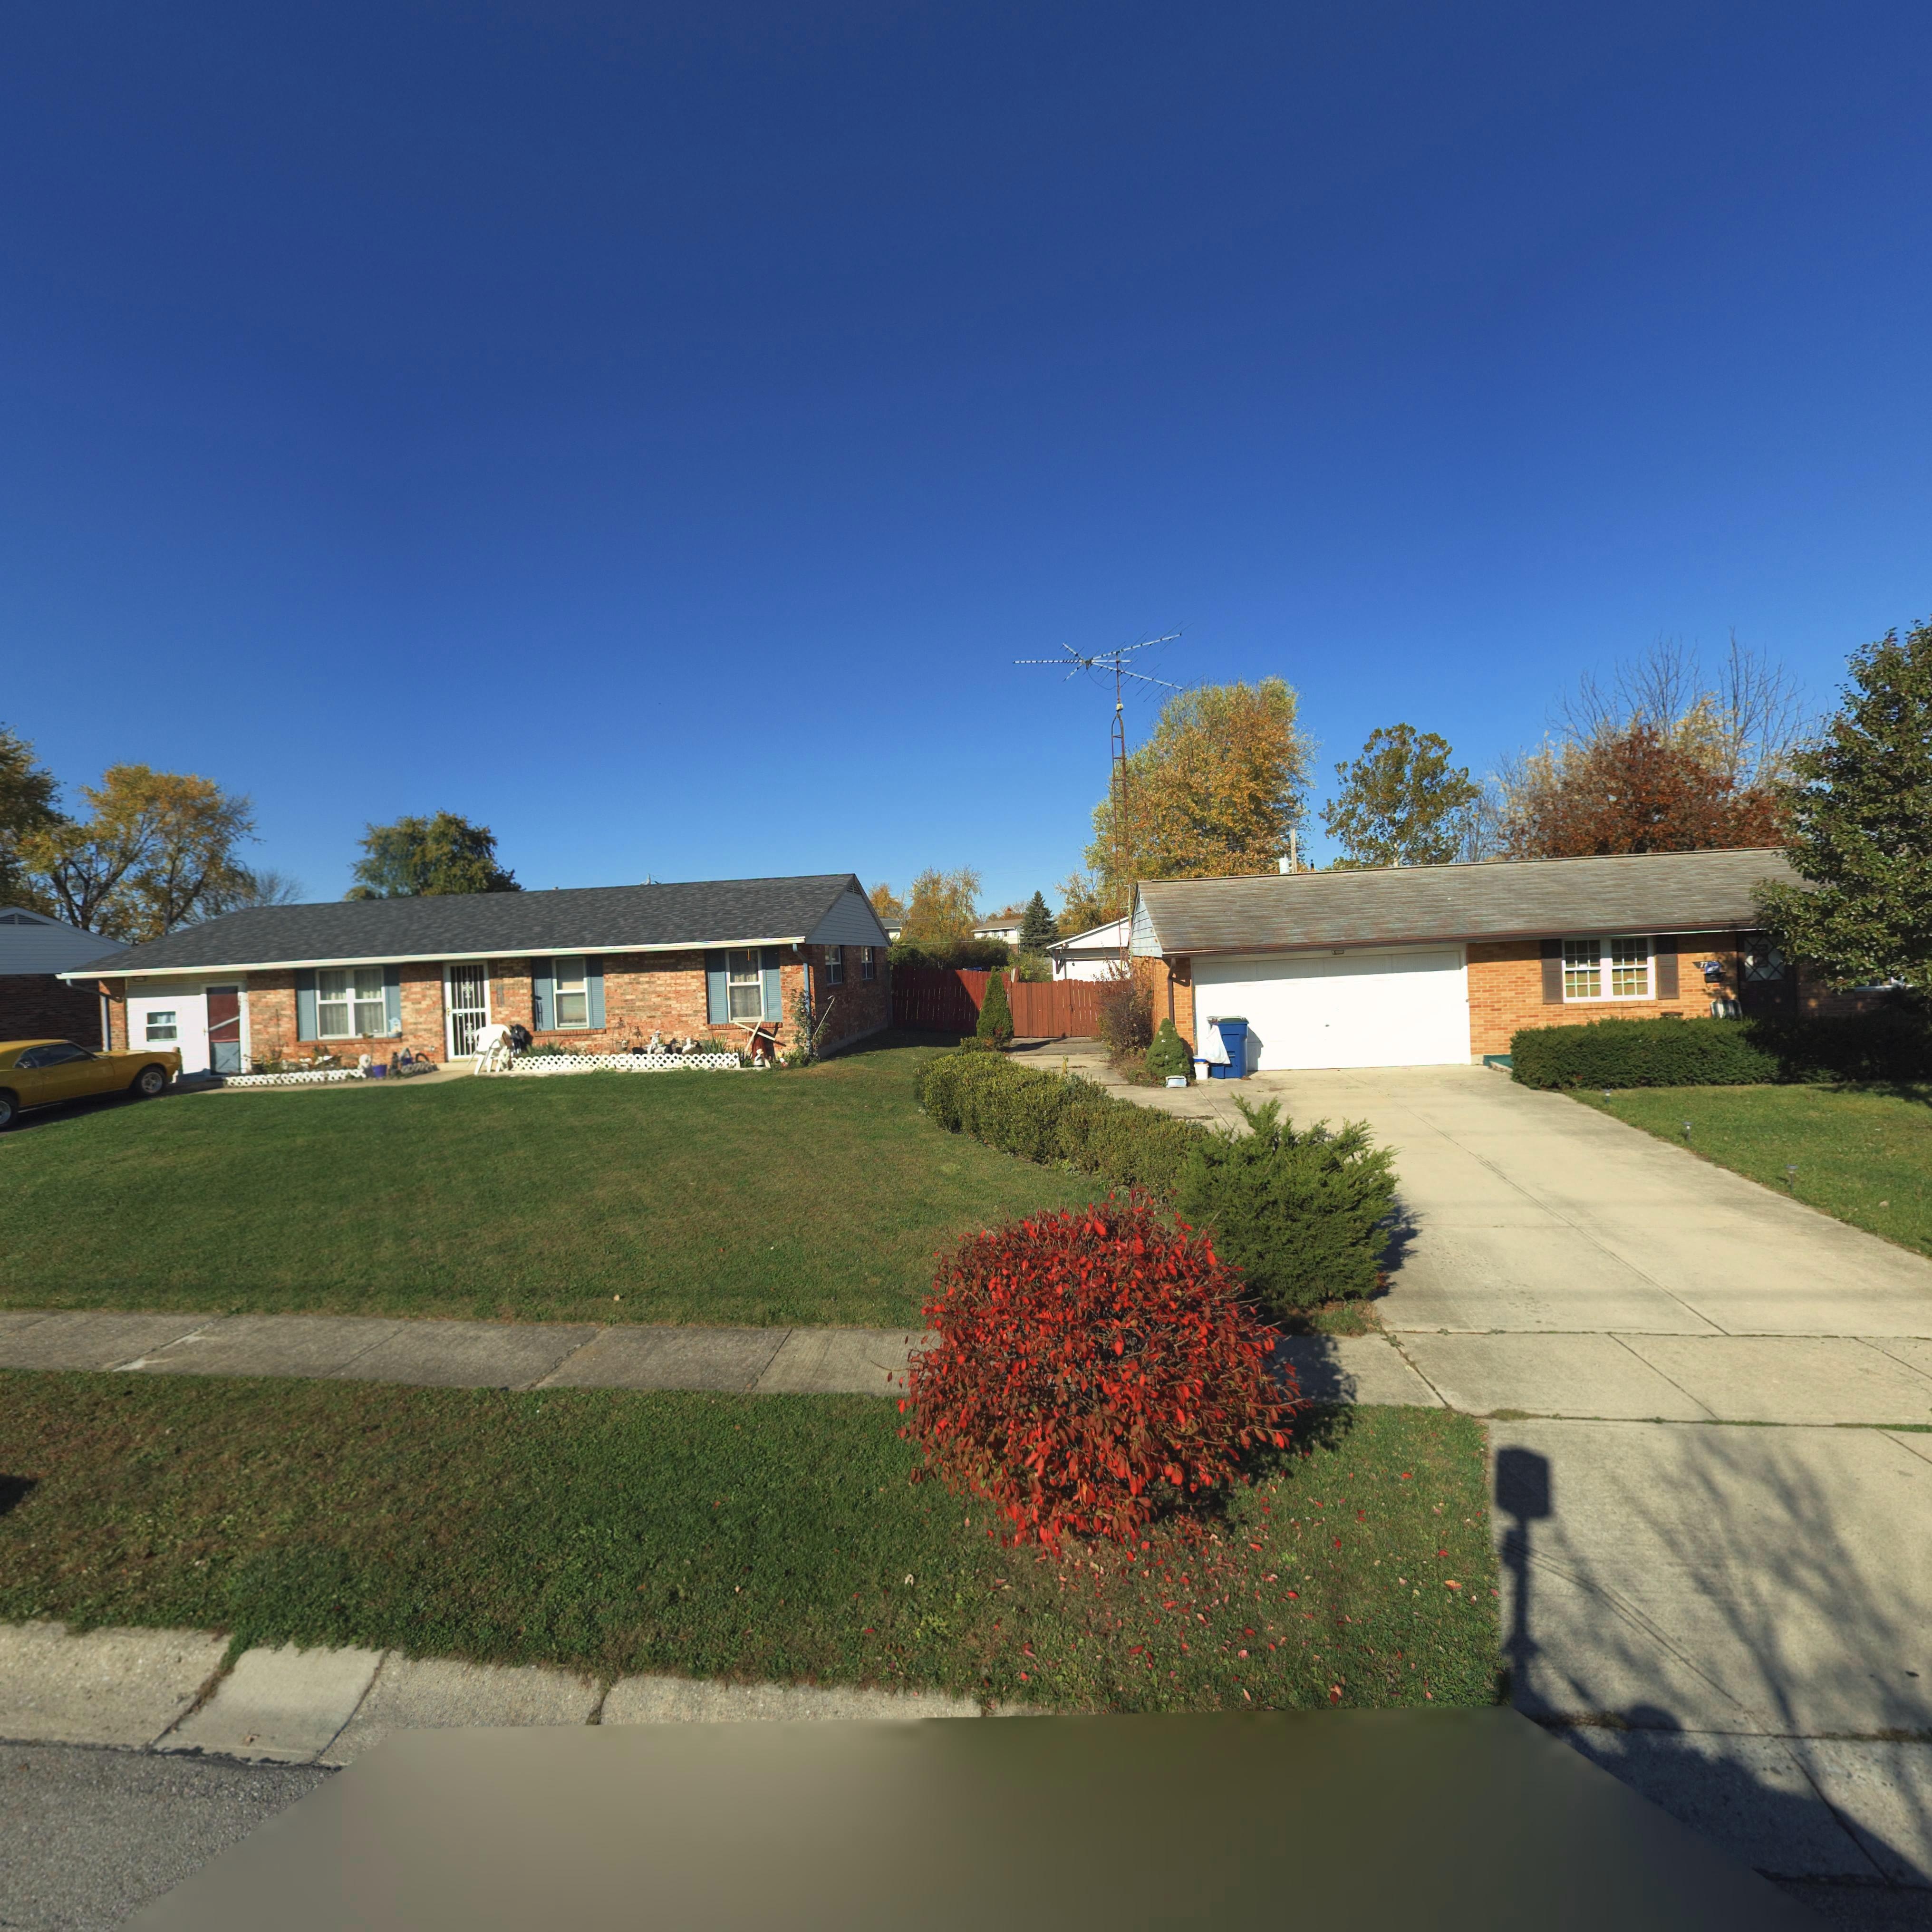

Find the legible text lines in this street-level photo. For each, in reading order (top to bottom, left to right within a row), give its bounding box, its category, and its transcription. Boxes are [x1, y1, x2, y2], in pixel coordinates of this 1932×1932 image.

[1699, 960, 1705, 969] StreetNumber: 7